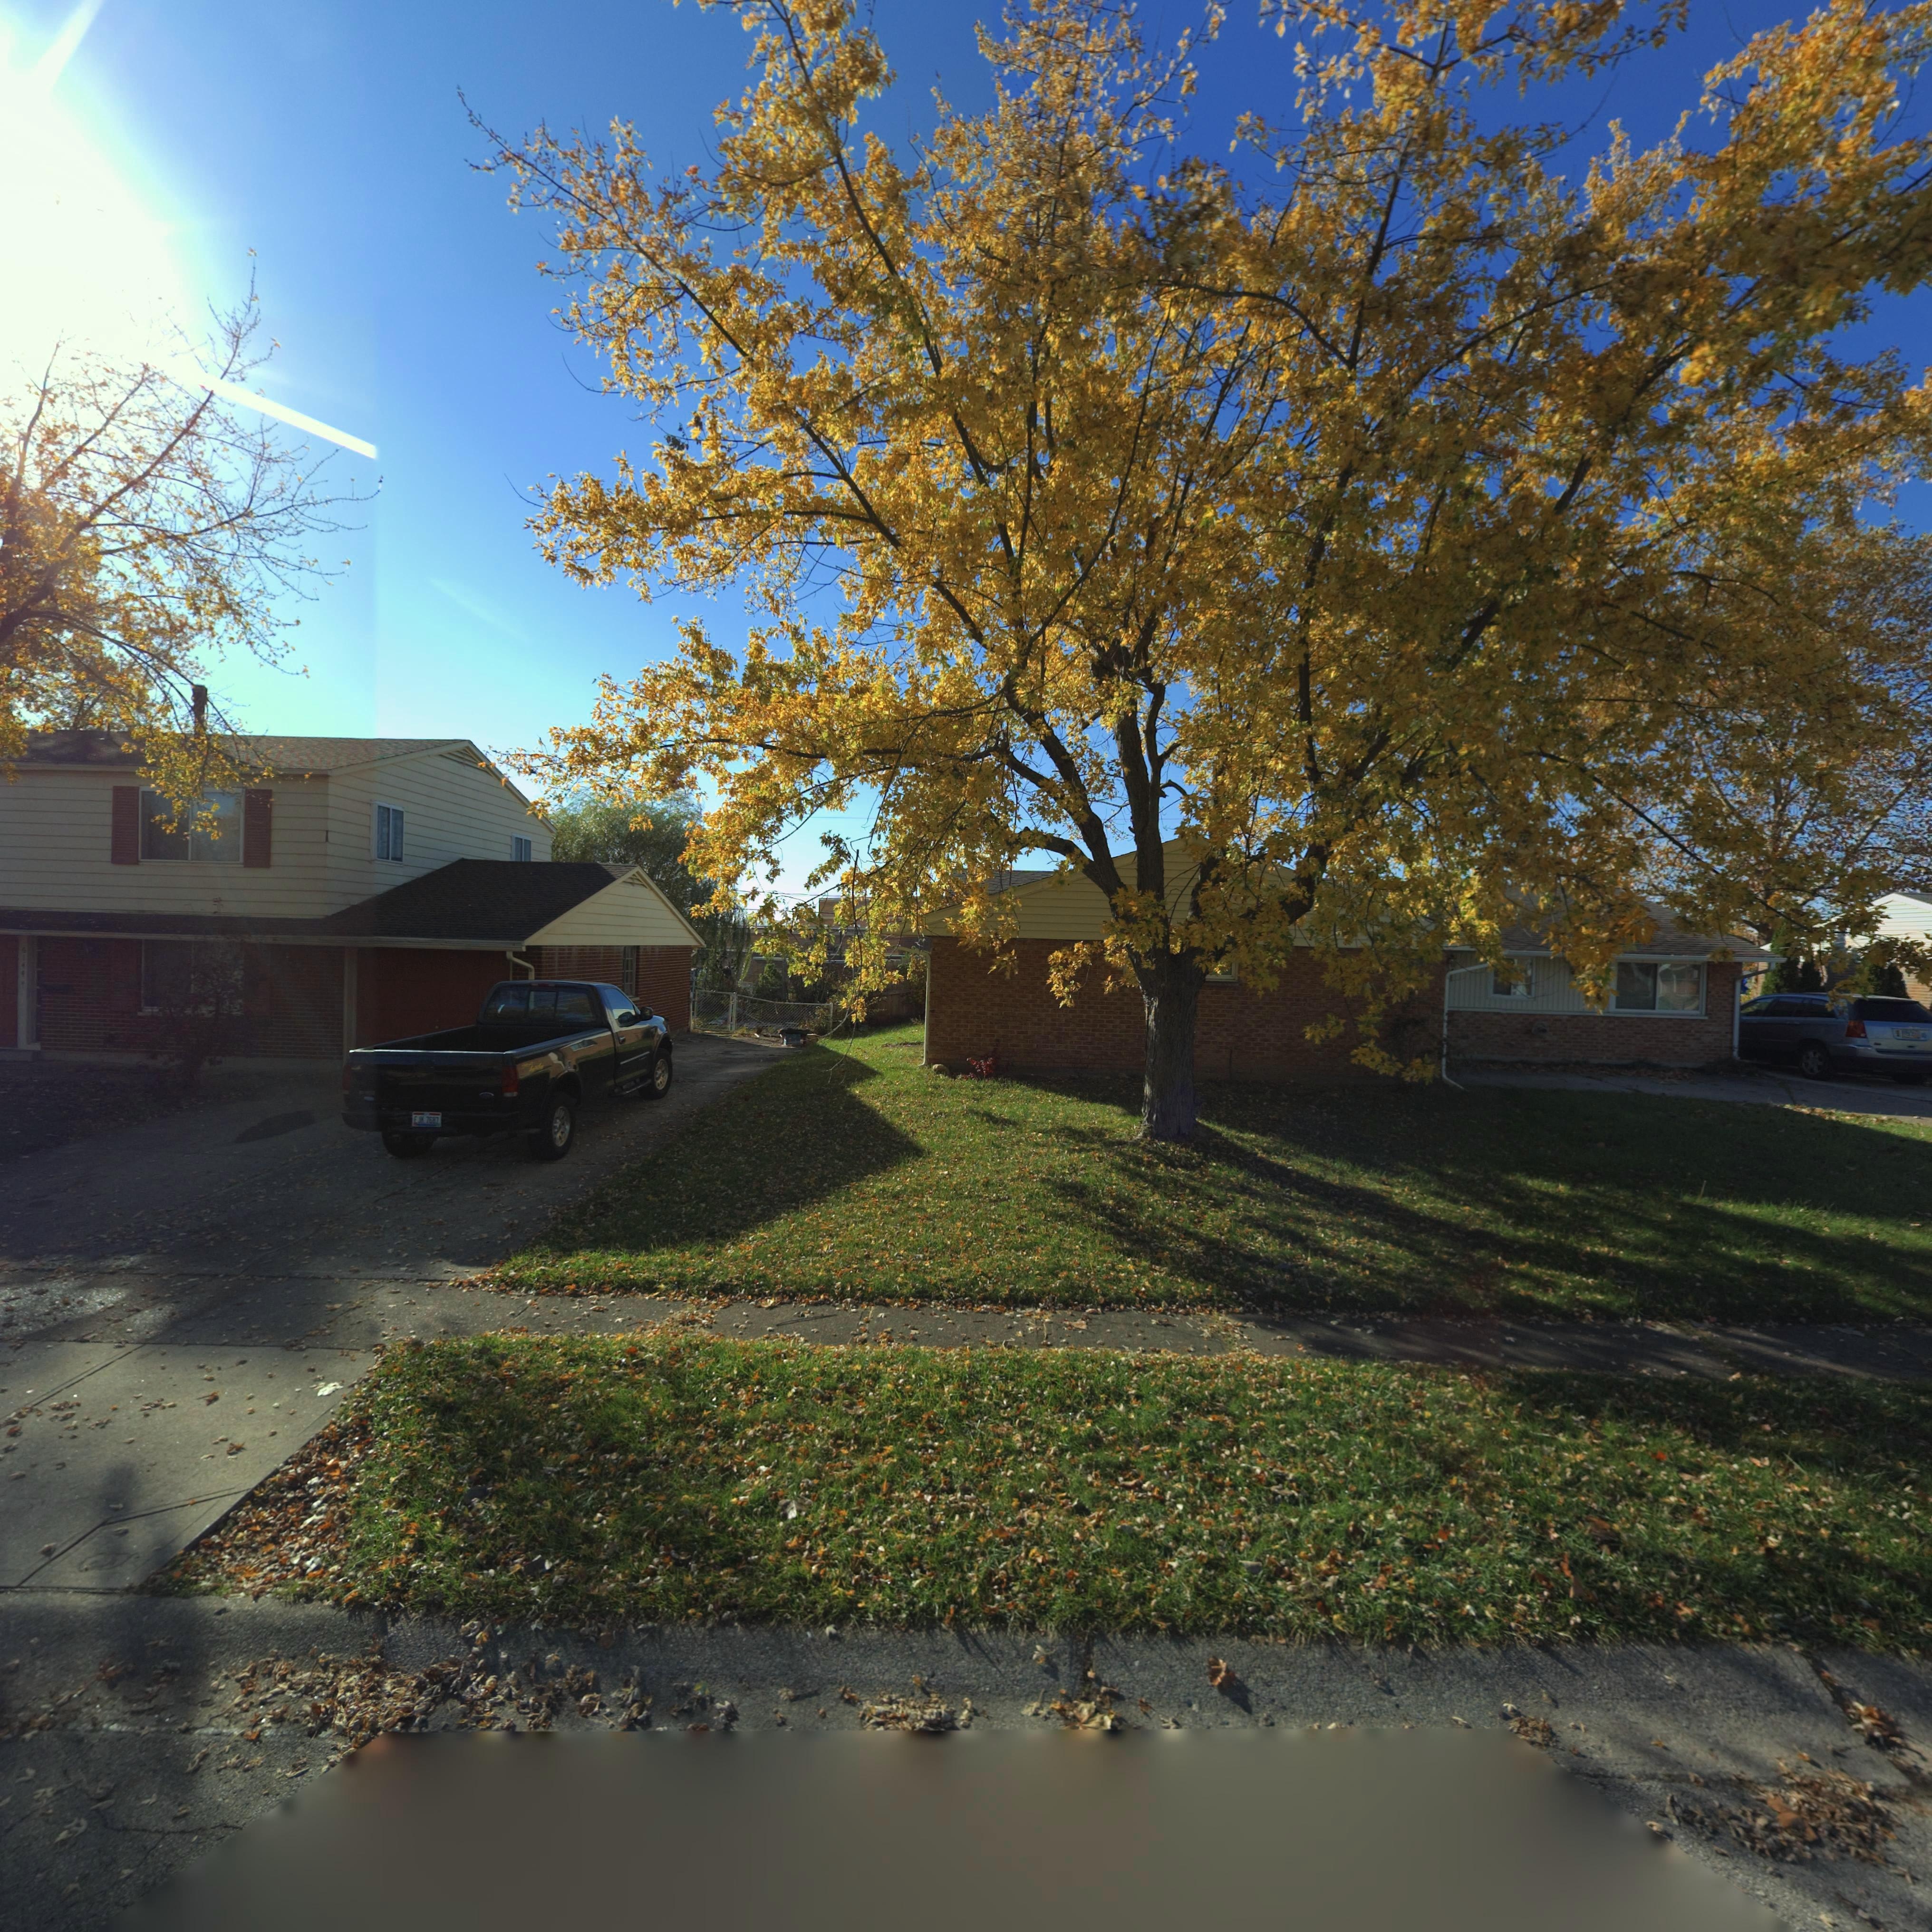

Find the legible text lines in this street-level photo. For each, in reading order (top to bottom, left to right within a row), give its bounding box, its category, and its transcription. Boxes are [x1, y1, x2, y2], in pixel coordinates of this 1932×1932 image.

[19, 946, 27, 978] StreetNumber: 6144